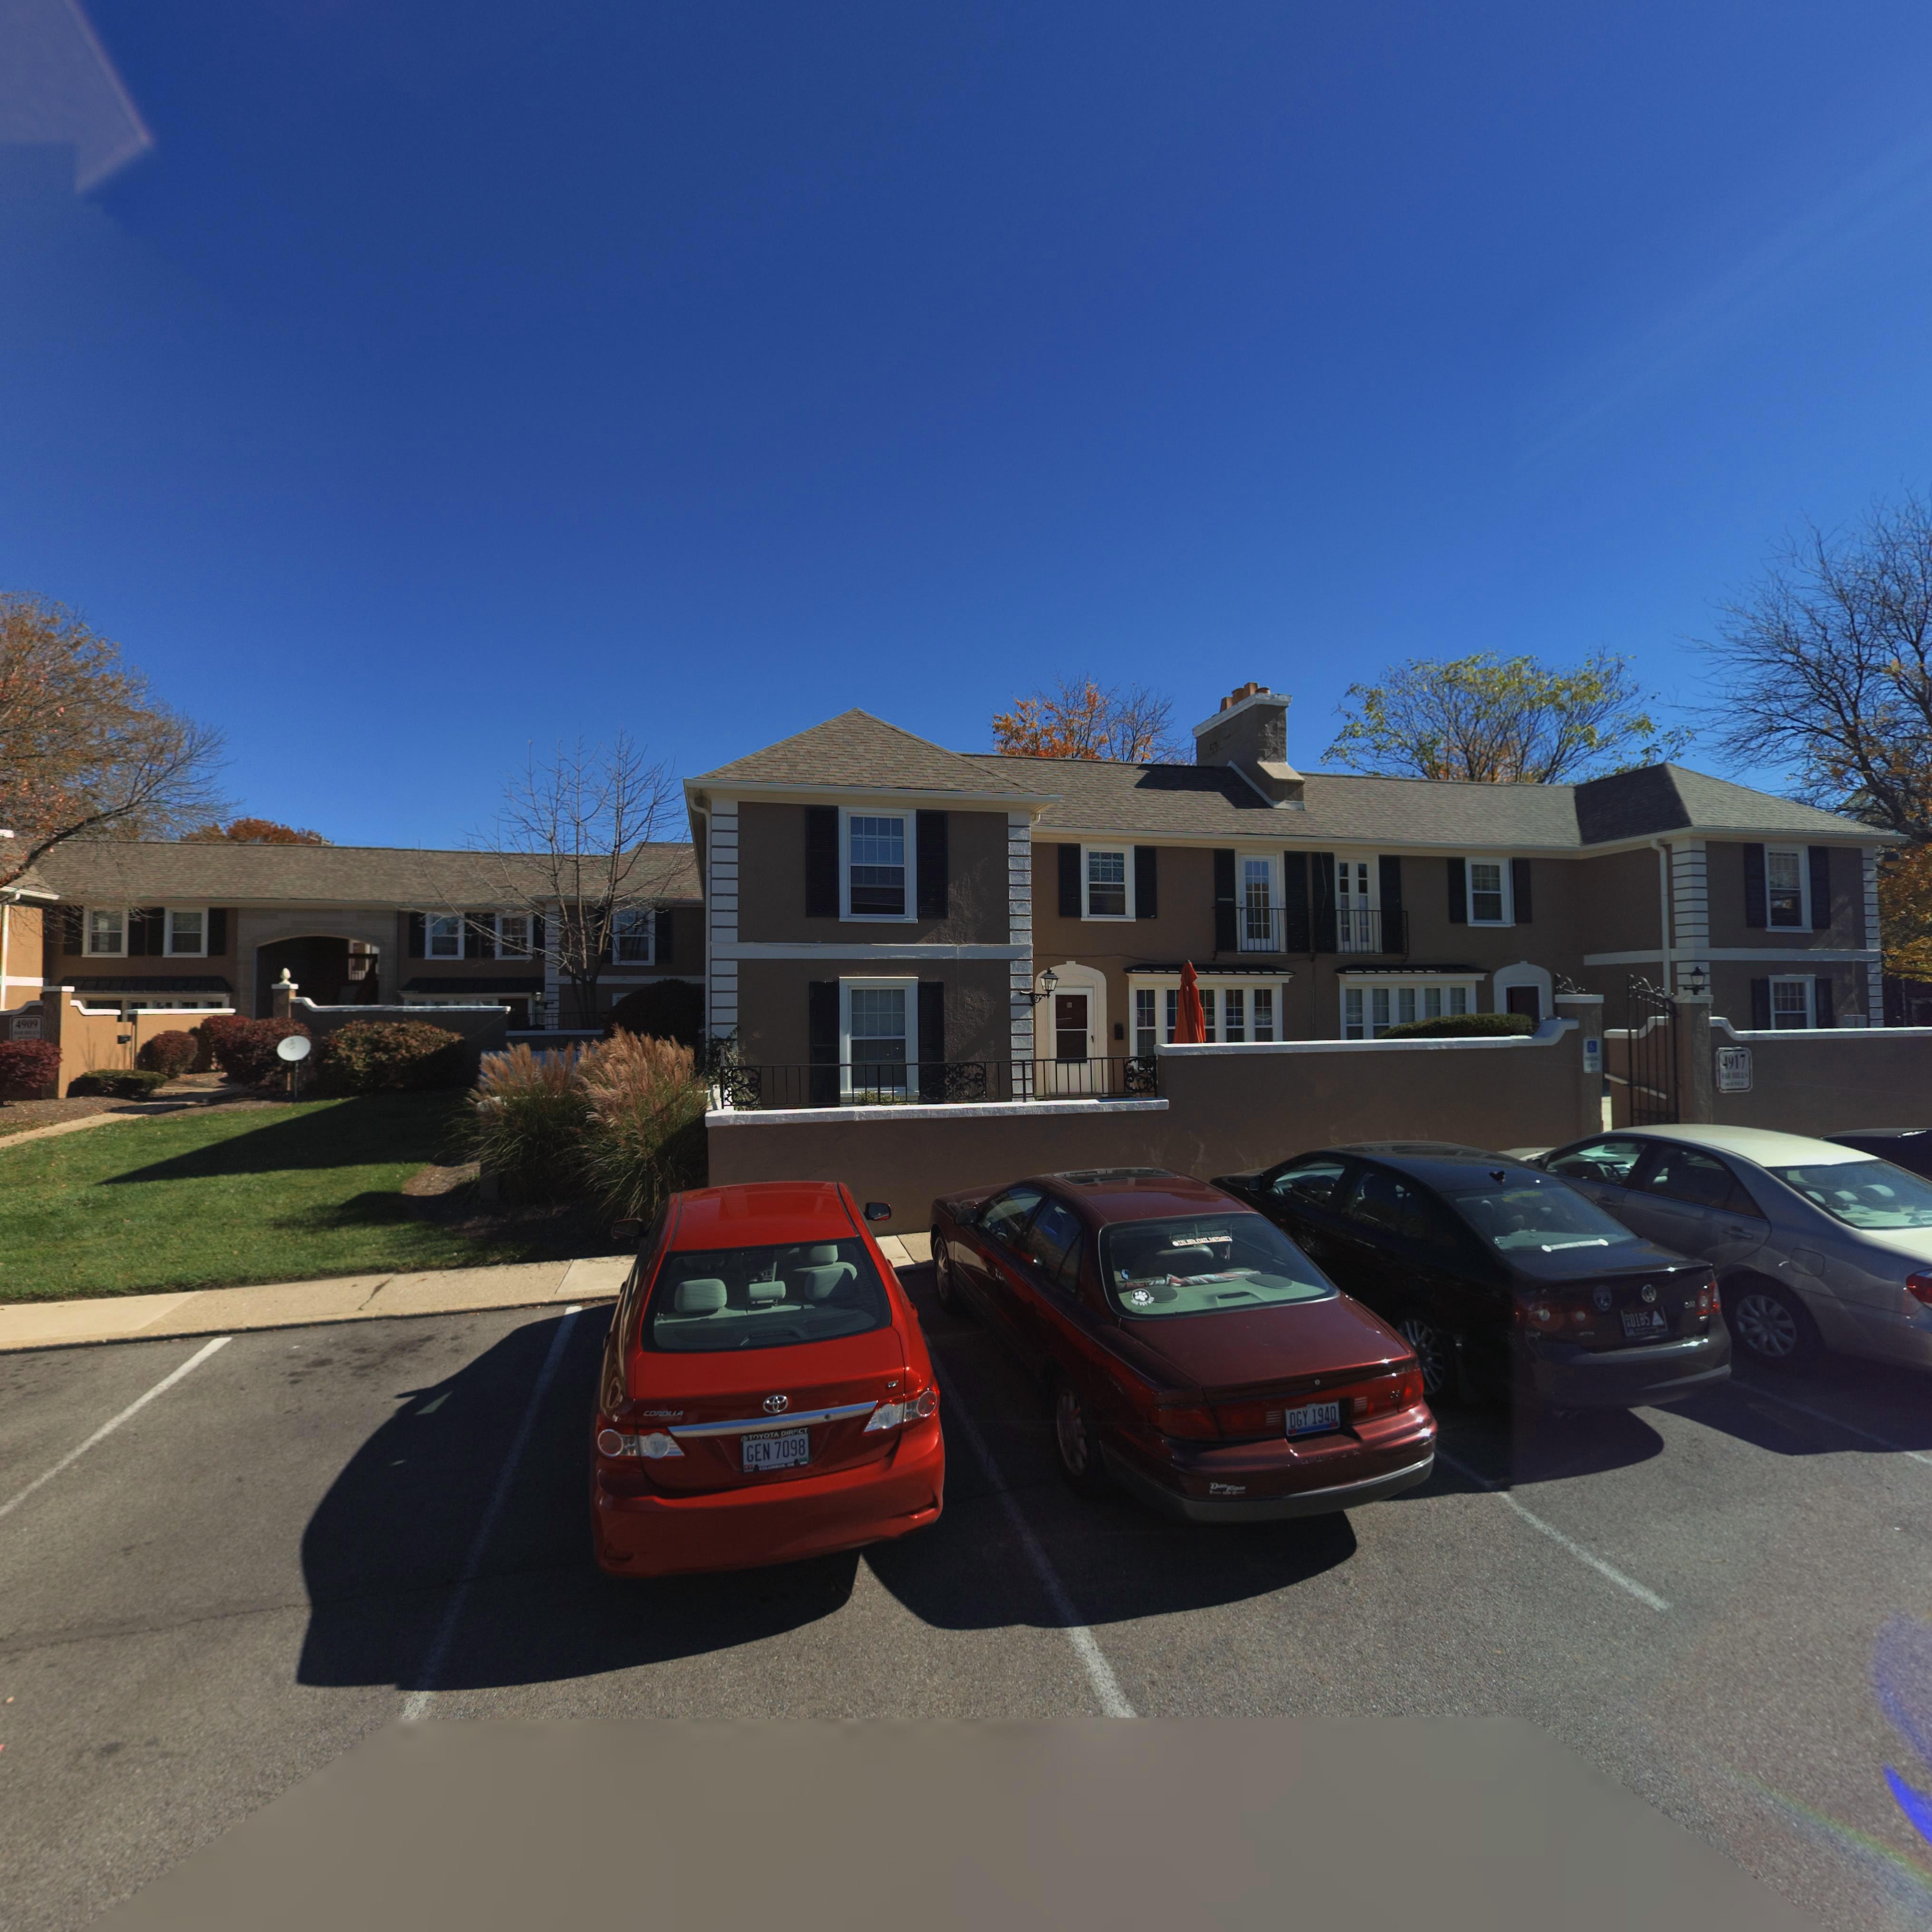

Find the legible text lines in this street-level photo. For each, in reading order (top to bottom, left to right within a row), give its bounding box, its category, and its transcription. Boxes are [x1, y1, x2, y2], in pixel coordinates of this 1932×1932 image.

[15, 1019, 39, 1029] StreetNumber: 4909
[1721, 1054, 1747, 1070] StreetNumber: 4917